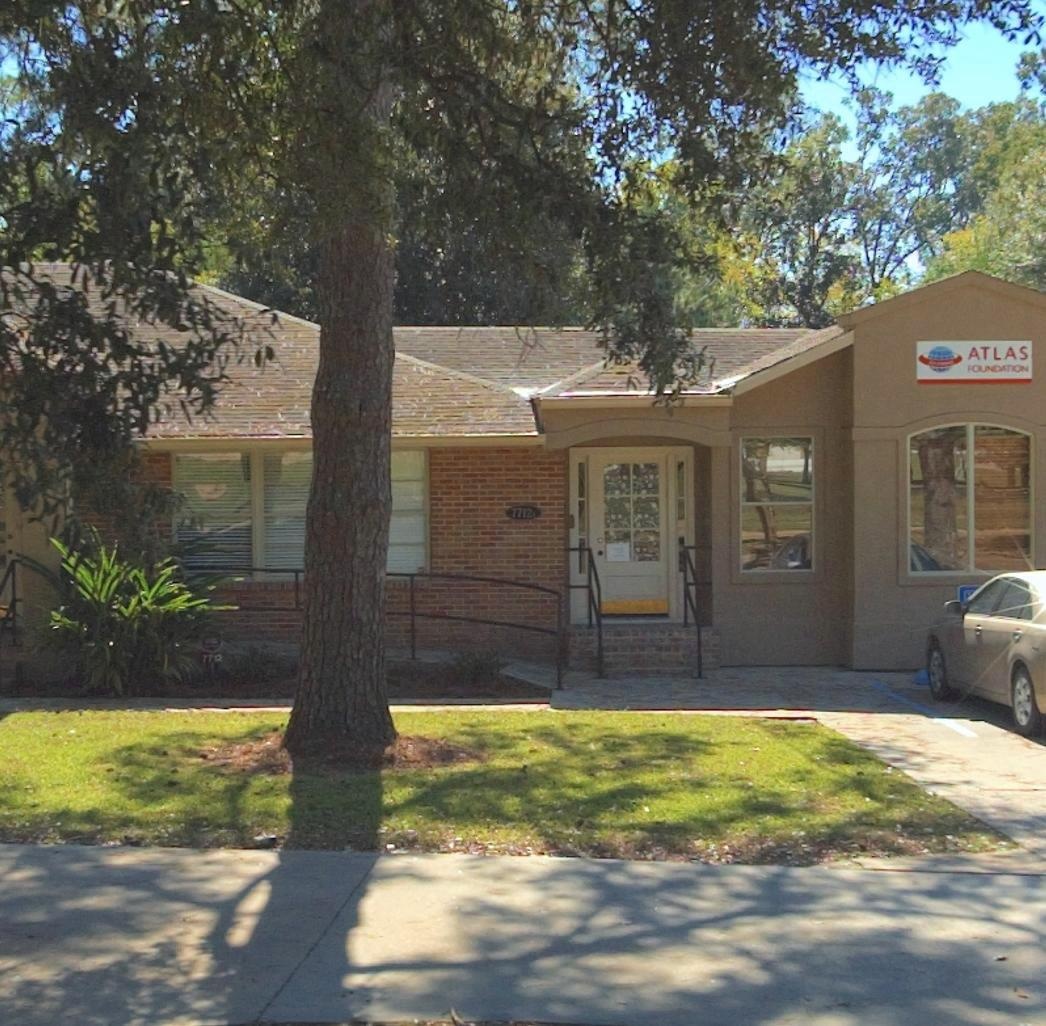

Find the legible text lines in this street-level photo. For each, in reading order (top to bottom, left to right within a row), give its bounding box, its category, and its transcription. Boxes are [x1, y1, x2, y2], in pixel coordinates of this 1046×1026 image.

[965, 343, 1031, 364] BusinessName: ATLAS
[964, 361, 1032, 375] BusinessName: FOUNDATION
[510, 506, 534, 520] StreetNumber: 7712